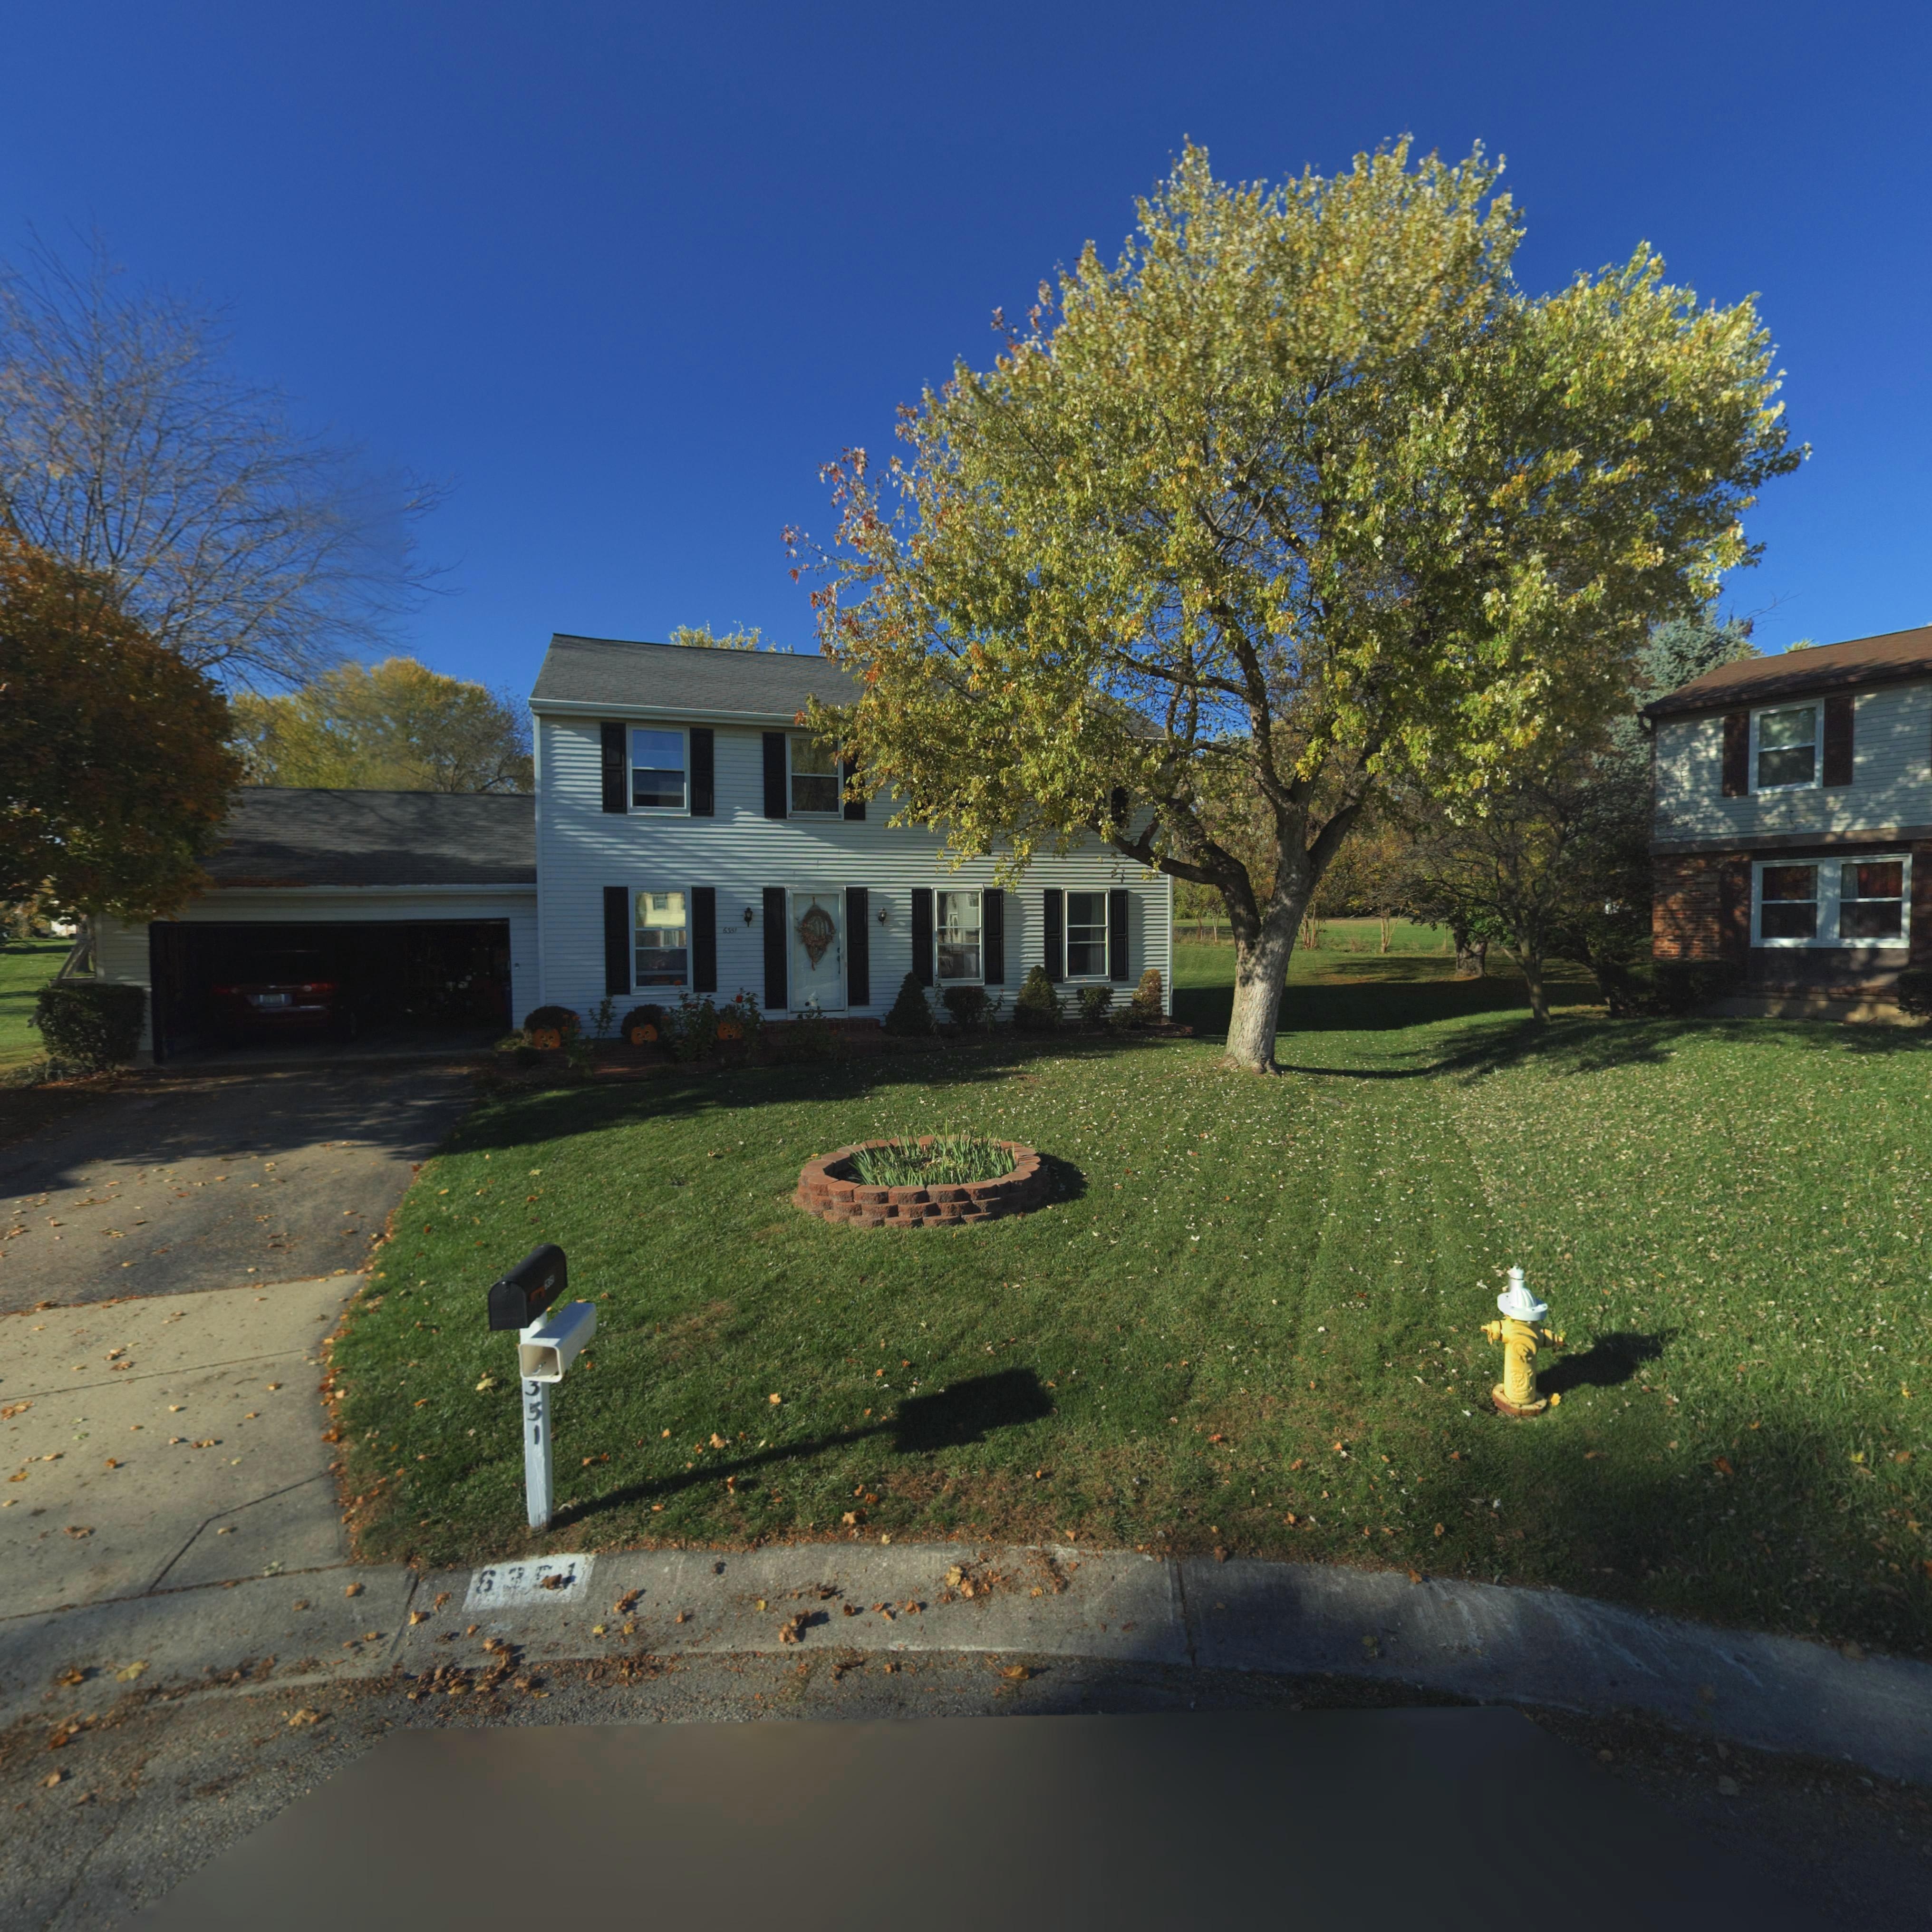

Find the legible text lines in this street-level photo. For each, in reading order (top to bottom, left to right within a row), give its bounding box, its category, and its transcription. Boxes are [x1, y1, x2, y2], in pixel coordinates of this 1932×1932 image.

[722, 926, 738, 935] StreetNumber: 635*
[541, 1272, 557, 1293] StreetNumber: 635*
[524, 1398, 544, 1447] StreetNumber: 51
[474, 1560, 578, 1594] StreetNumber: 6***